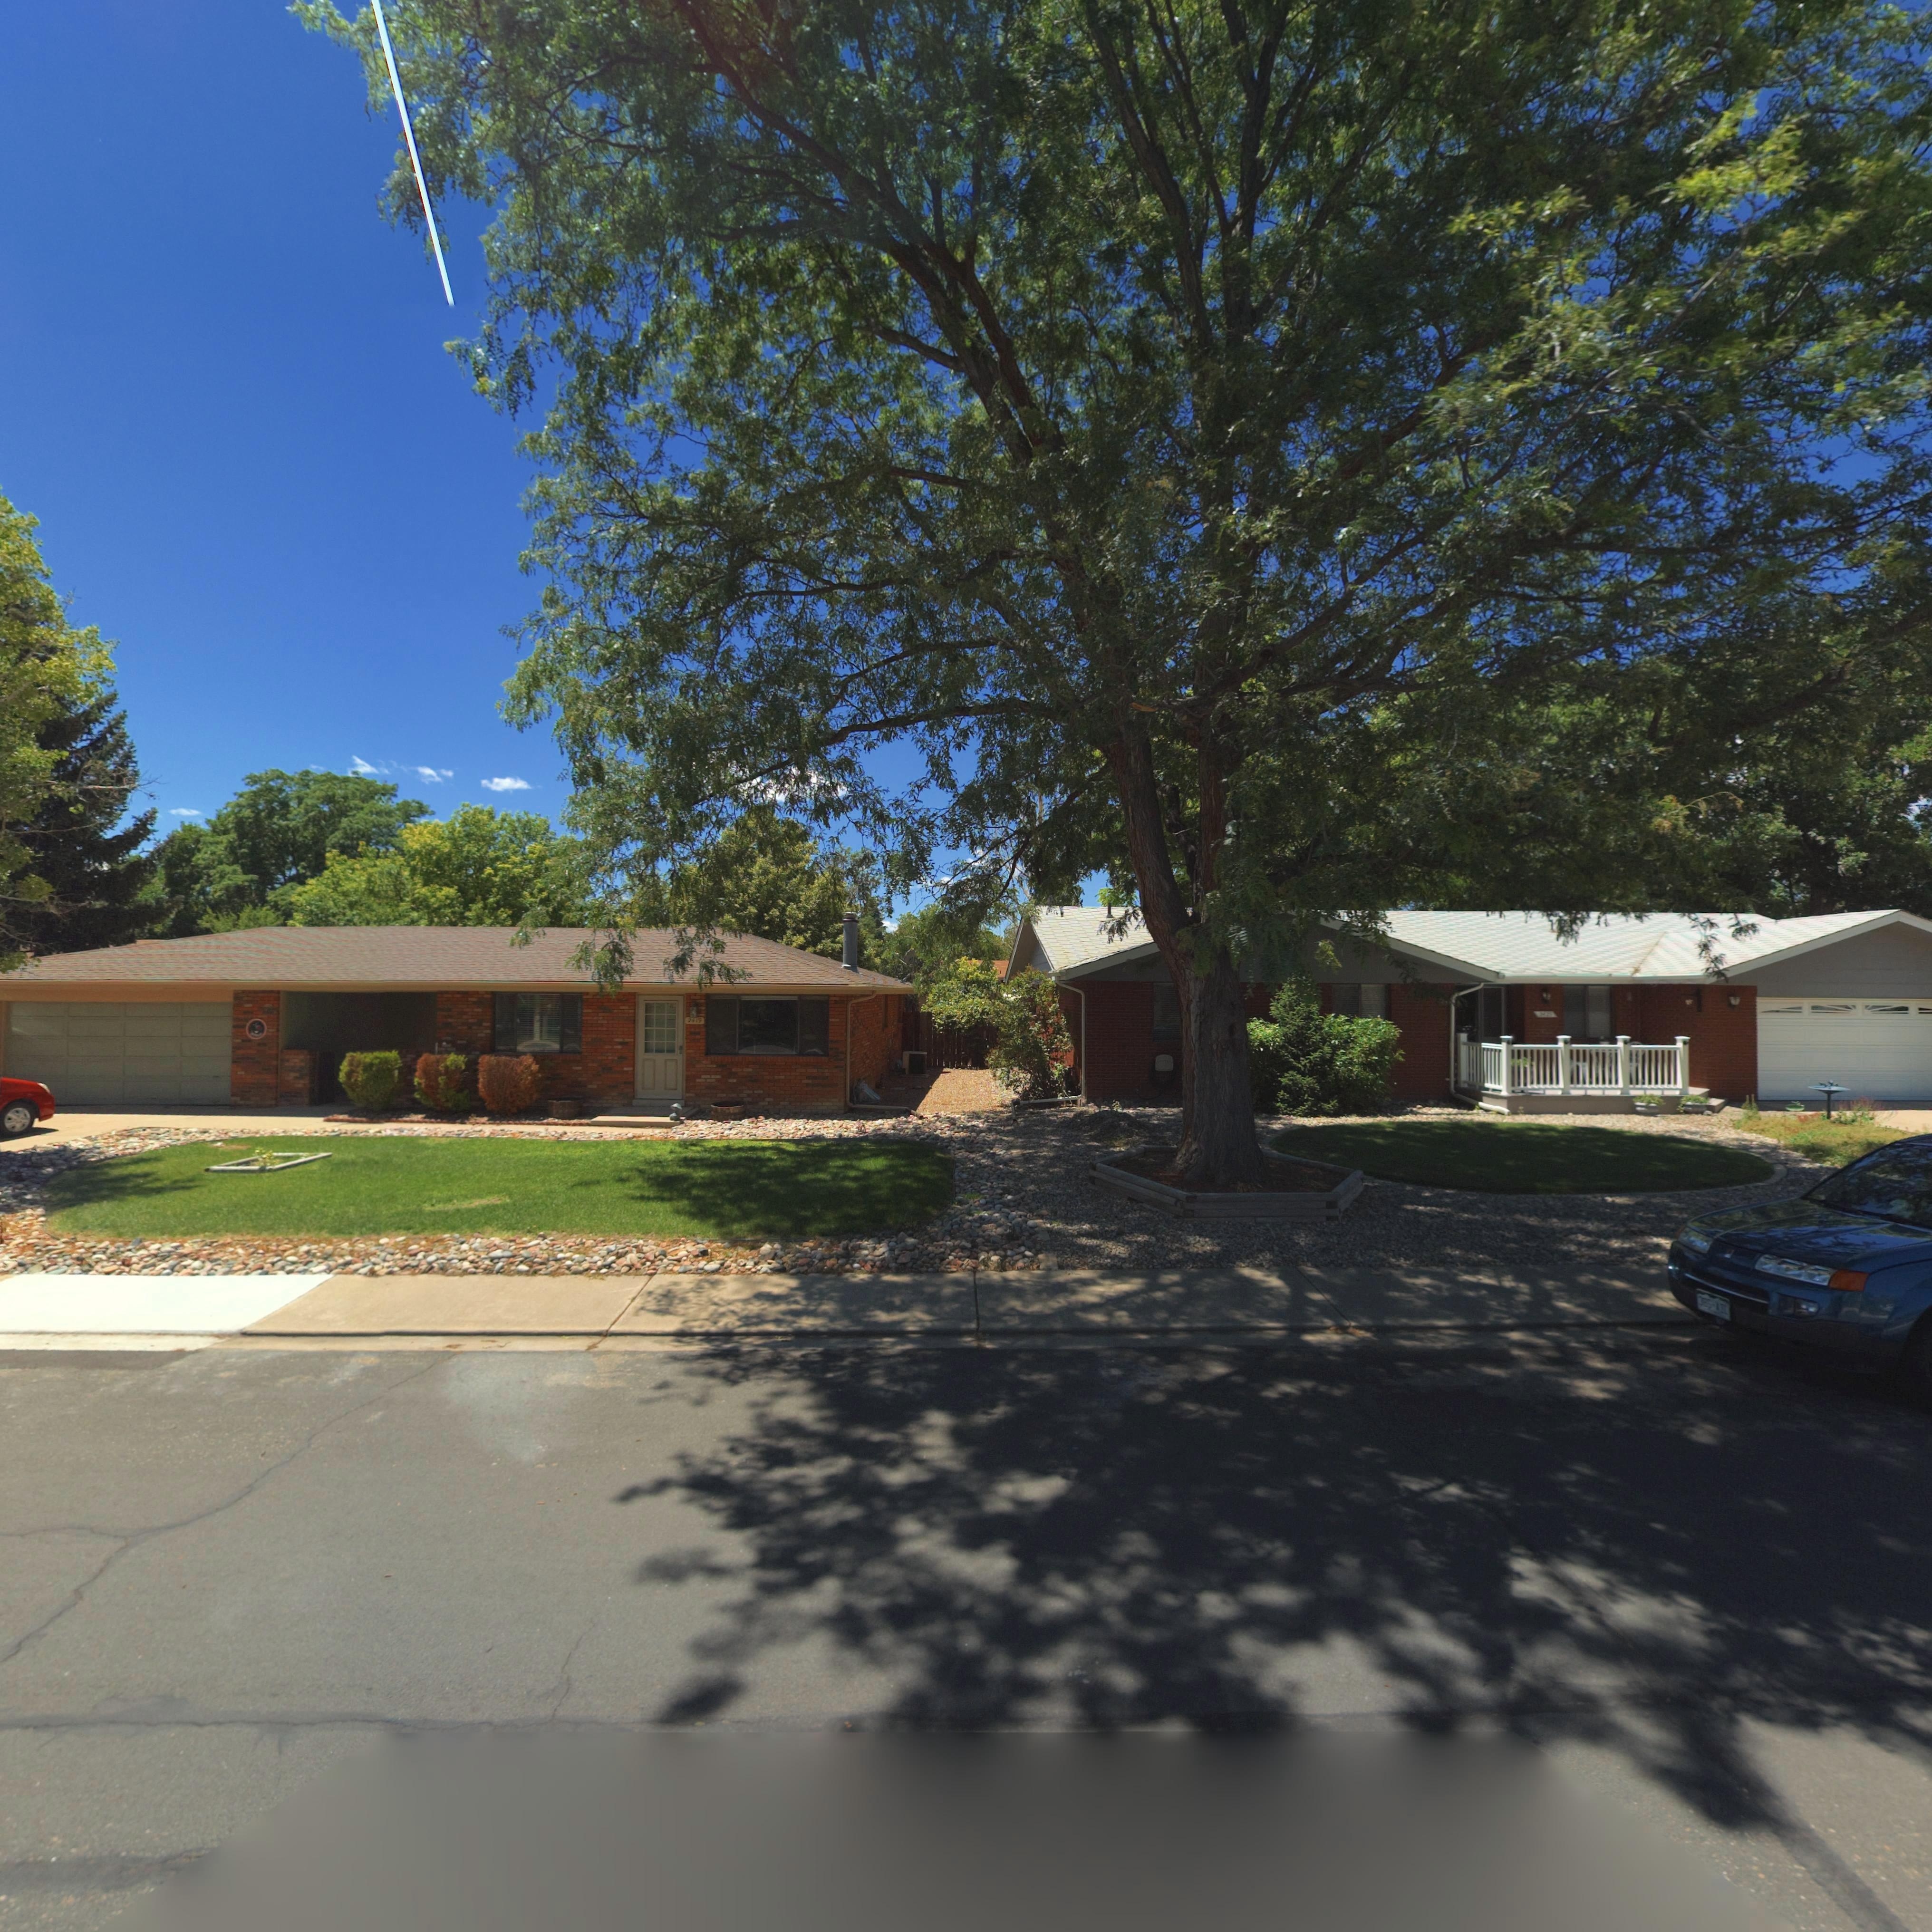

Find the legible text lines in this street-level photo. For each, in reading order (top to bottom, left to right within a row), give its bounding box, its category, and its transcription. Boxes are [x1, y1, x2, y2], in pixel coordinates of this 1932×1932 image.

[1539, 1011, 1552, 1016] StreetNumber: 2425
[687, 1017, 702, 1023] StreetNumber: 2419